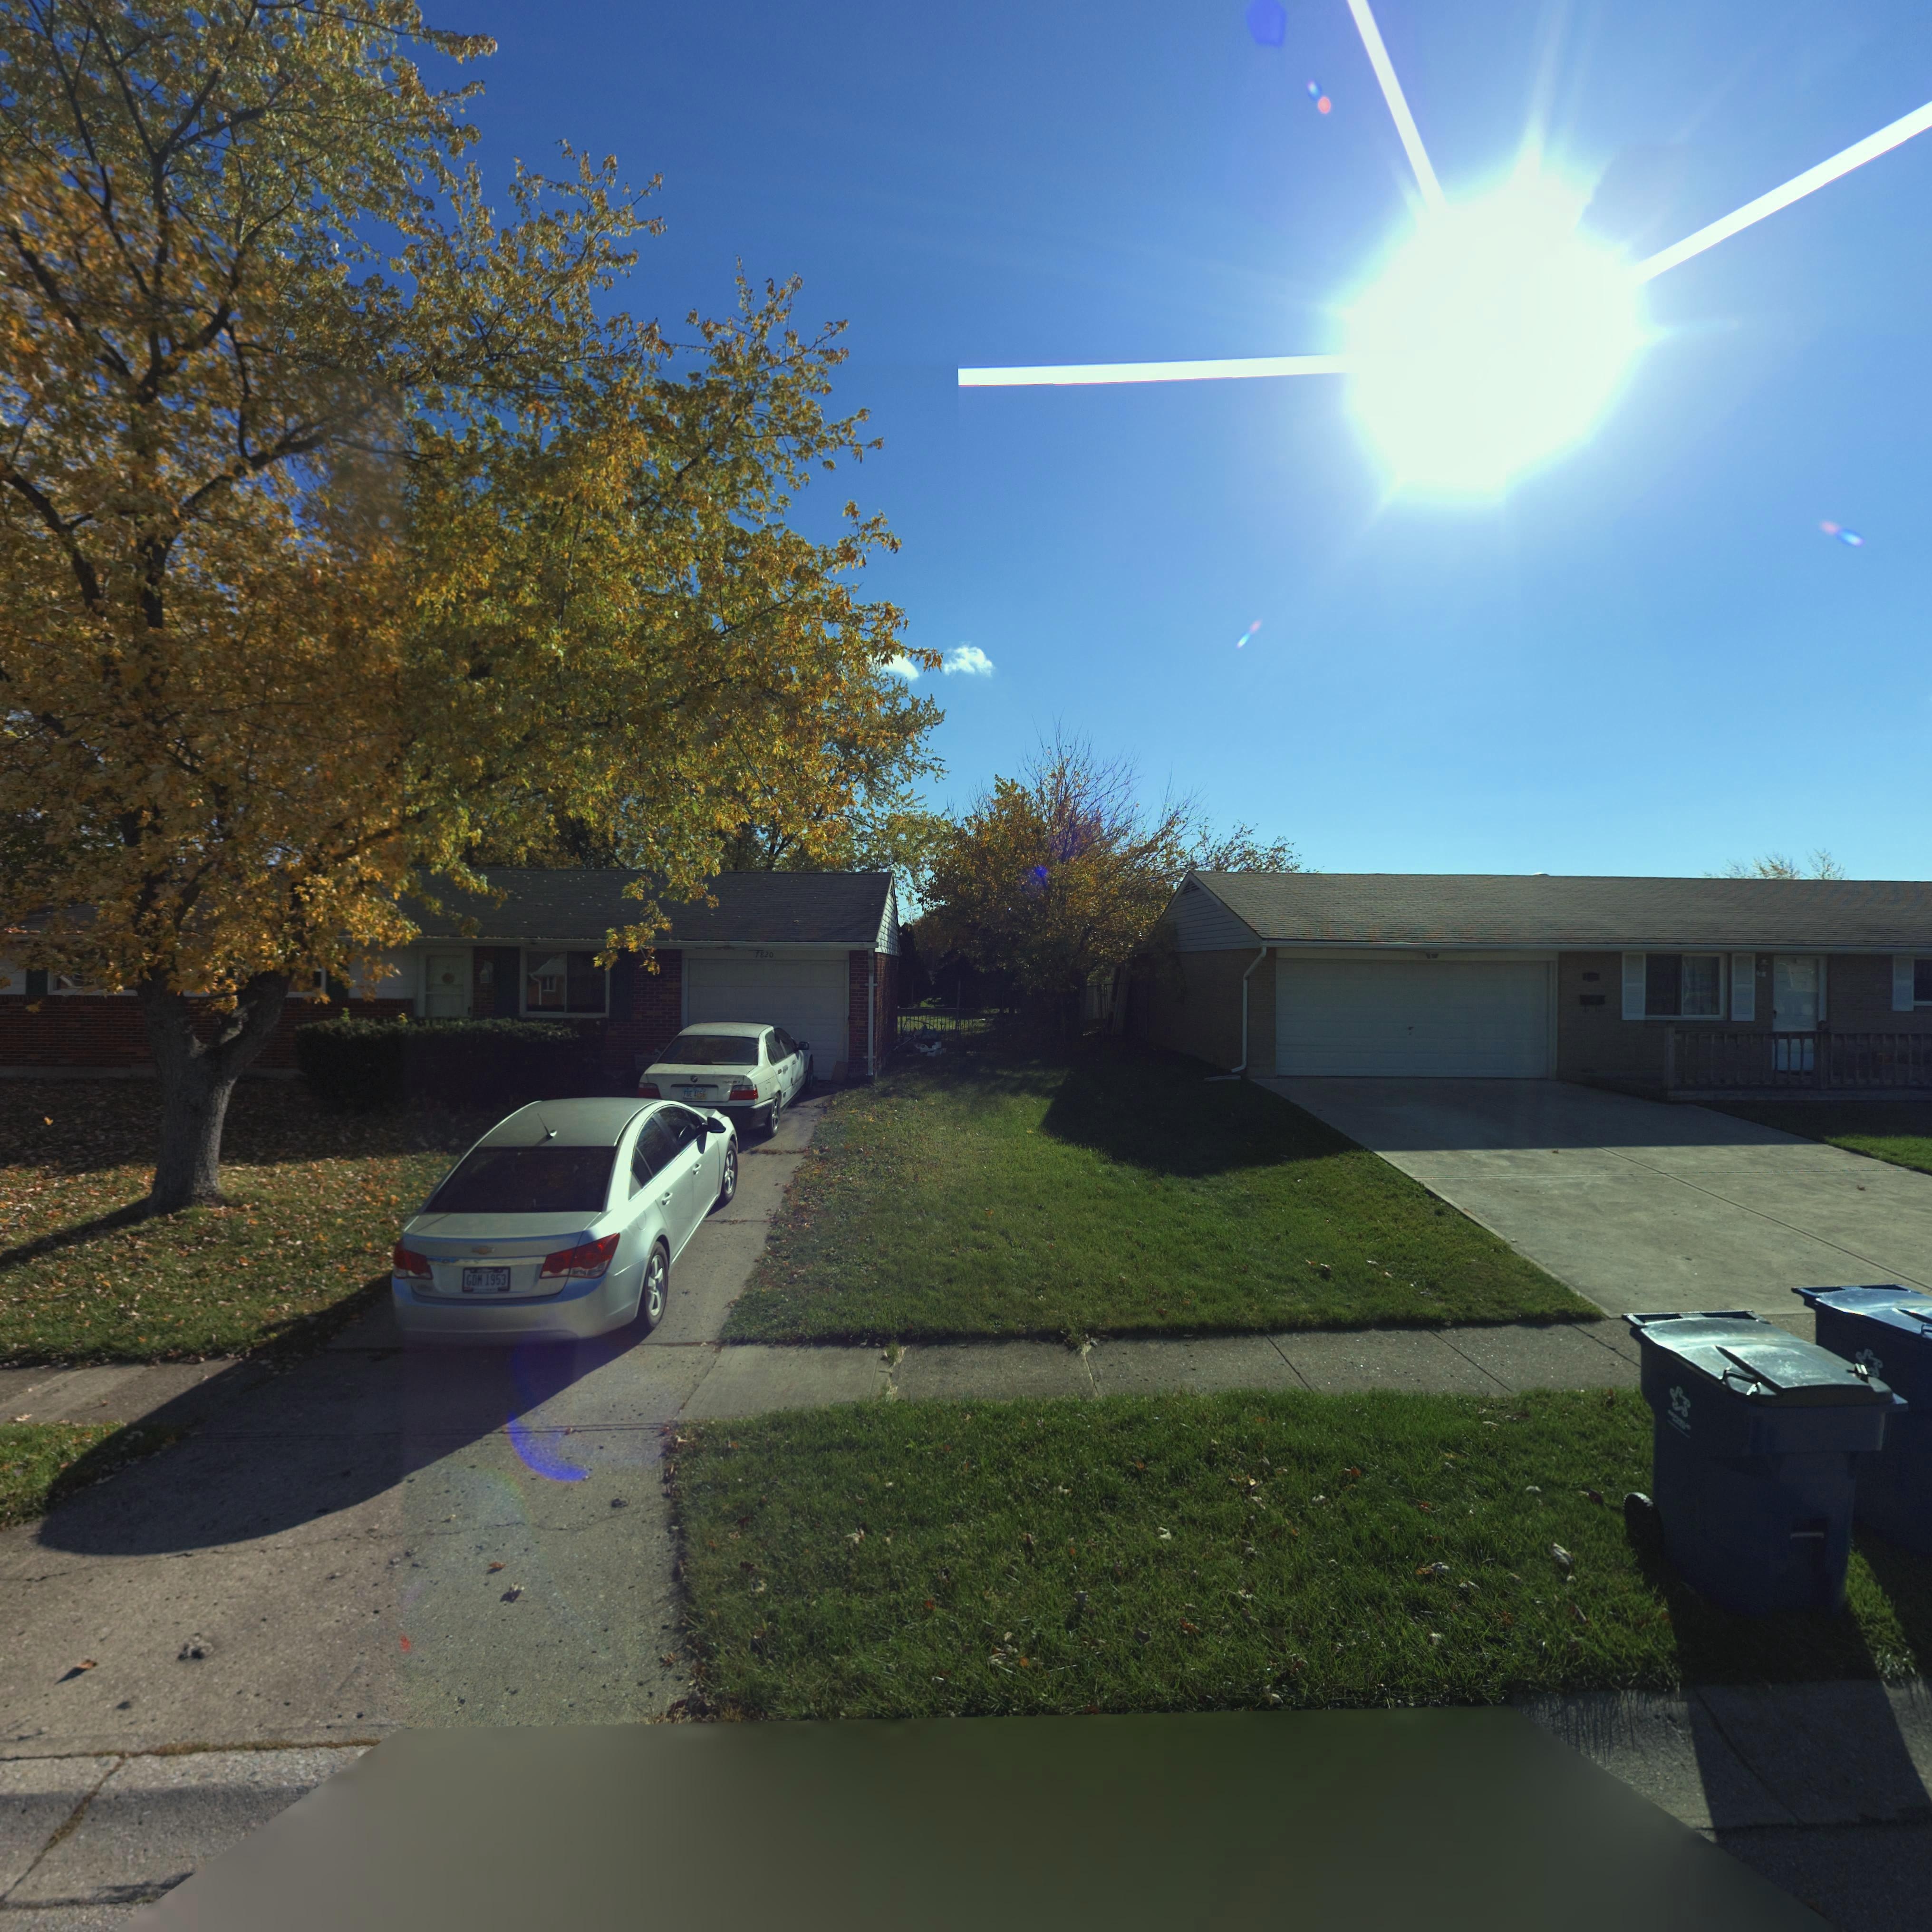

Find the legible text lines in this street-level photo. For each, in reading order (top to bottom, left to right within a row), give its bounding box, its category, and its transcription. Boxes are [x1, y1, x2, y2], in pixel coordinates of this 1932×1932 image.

[754, 950, 775, 958] StreetNumber: *820